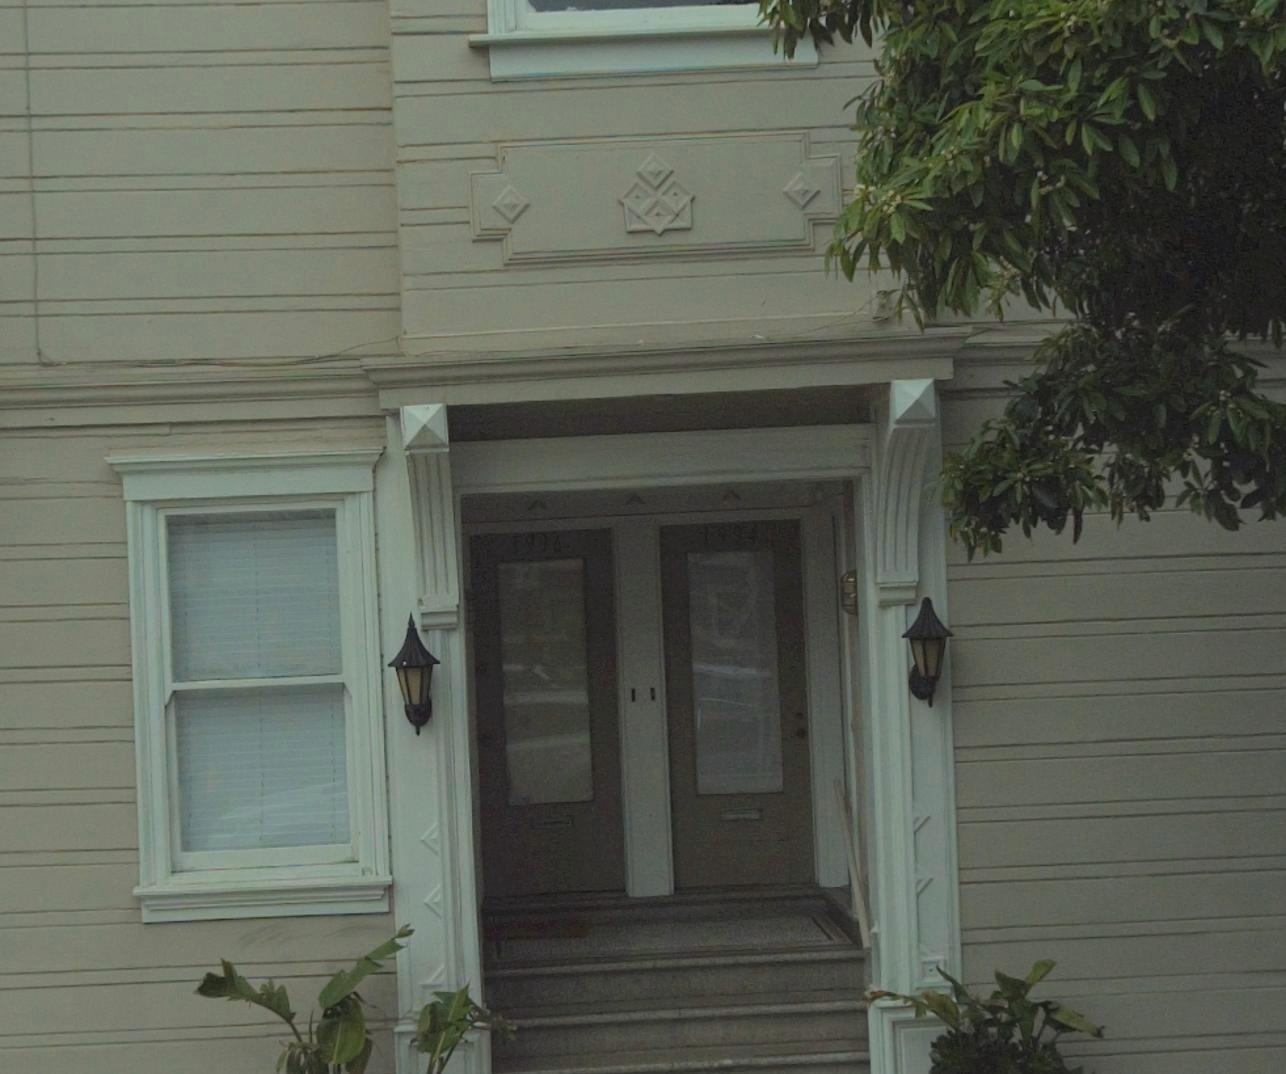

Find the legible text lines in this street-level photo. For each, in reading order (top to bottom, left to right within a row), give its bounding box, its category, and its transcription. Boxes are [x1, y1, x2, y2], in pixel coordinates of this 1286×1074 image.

[509, 532, 565, 556] StreetNumber: 1996
[700, 522, 759, 548] StreetNumber: 1994